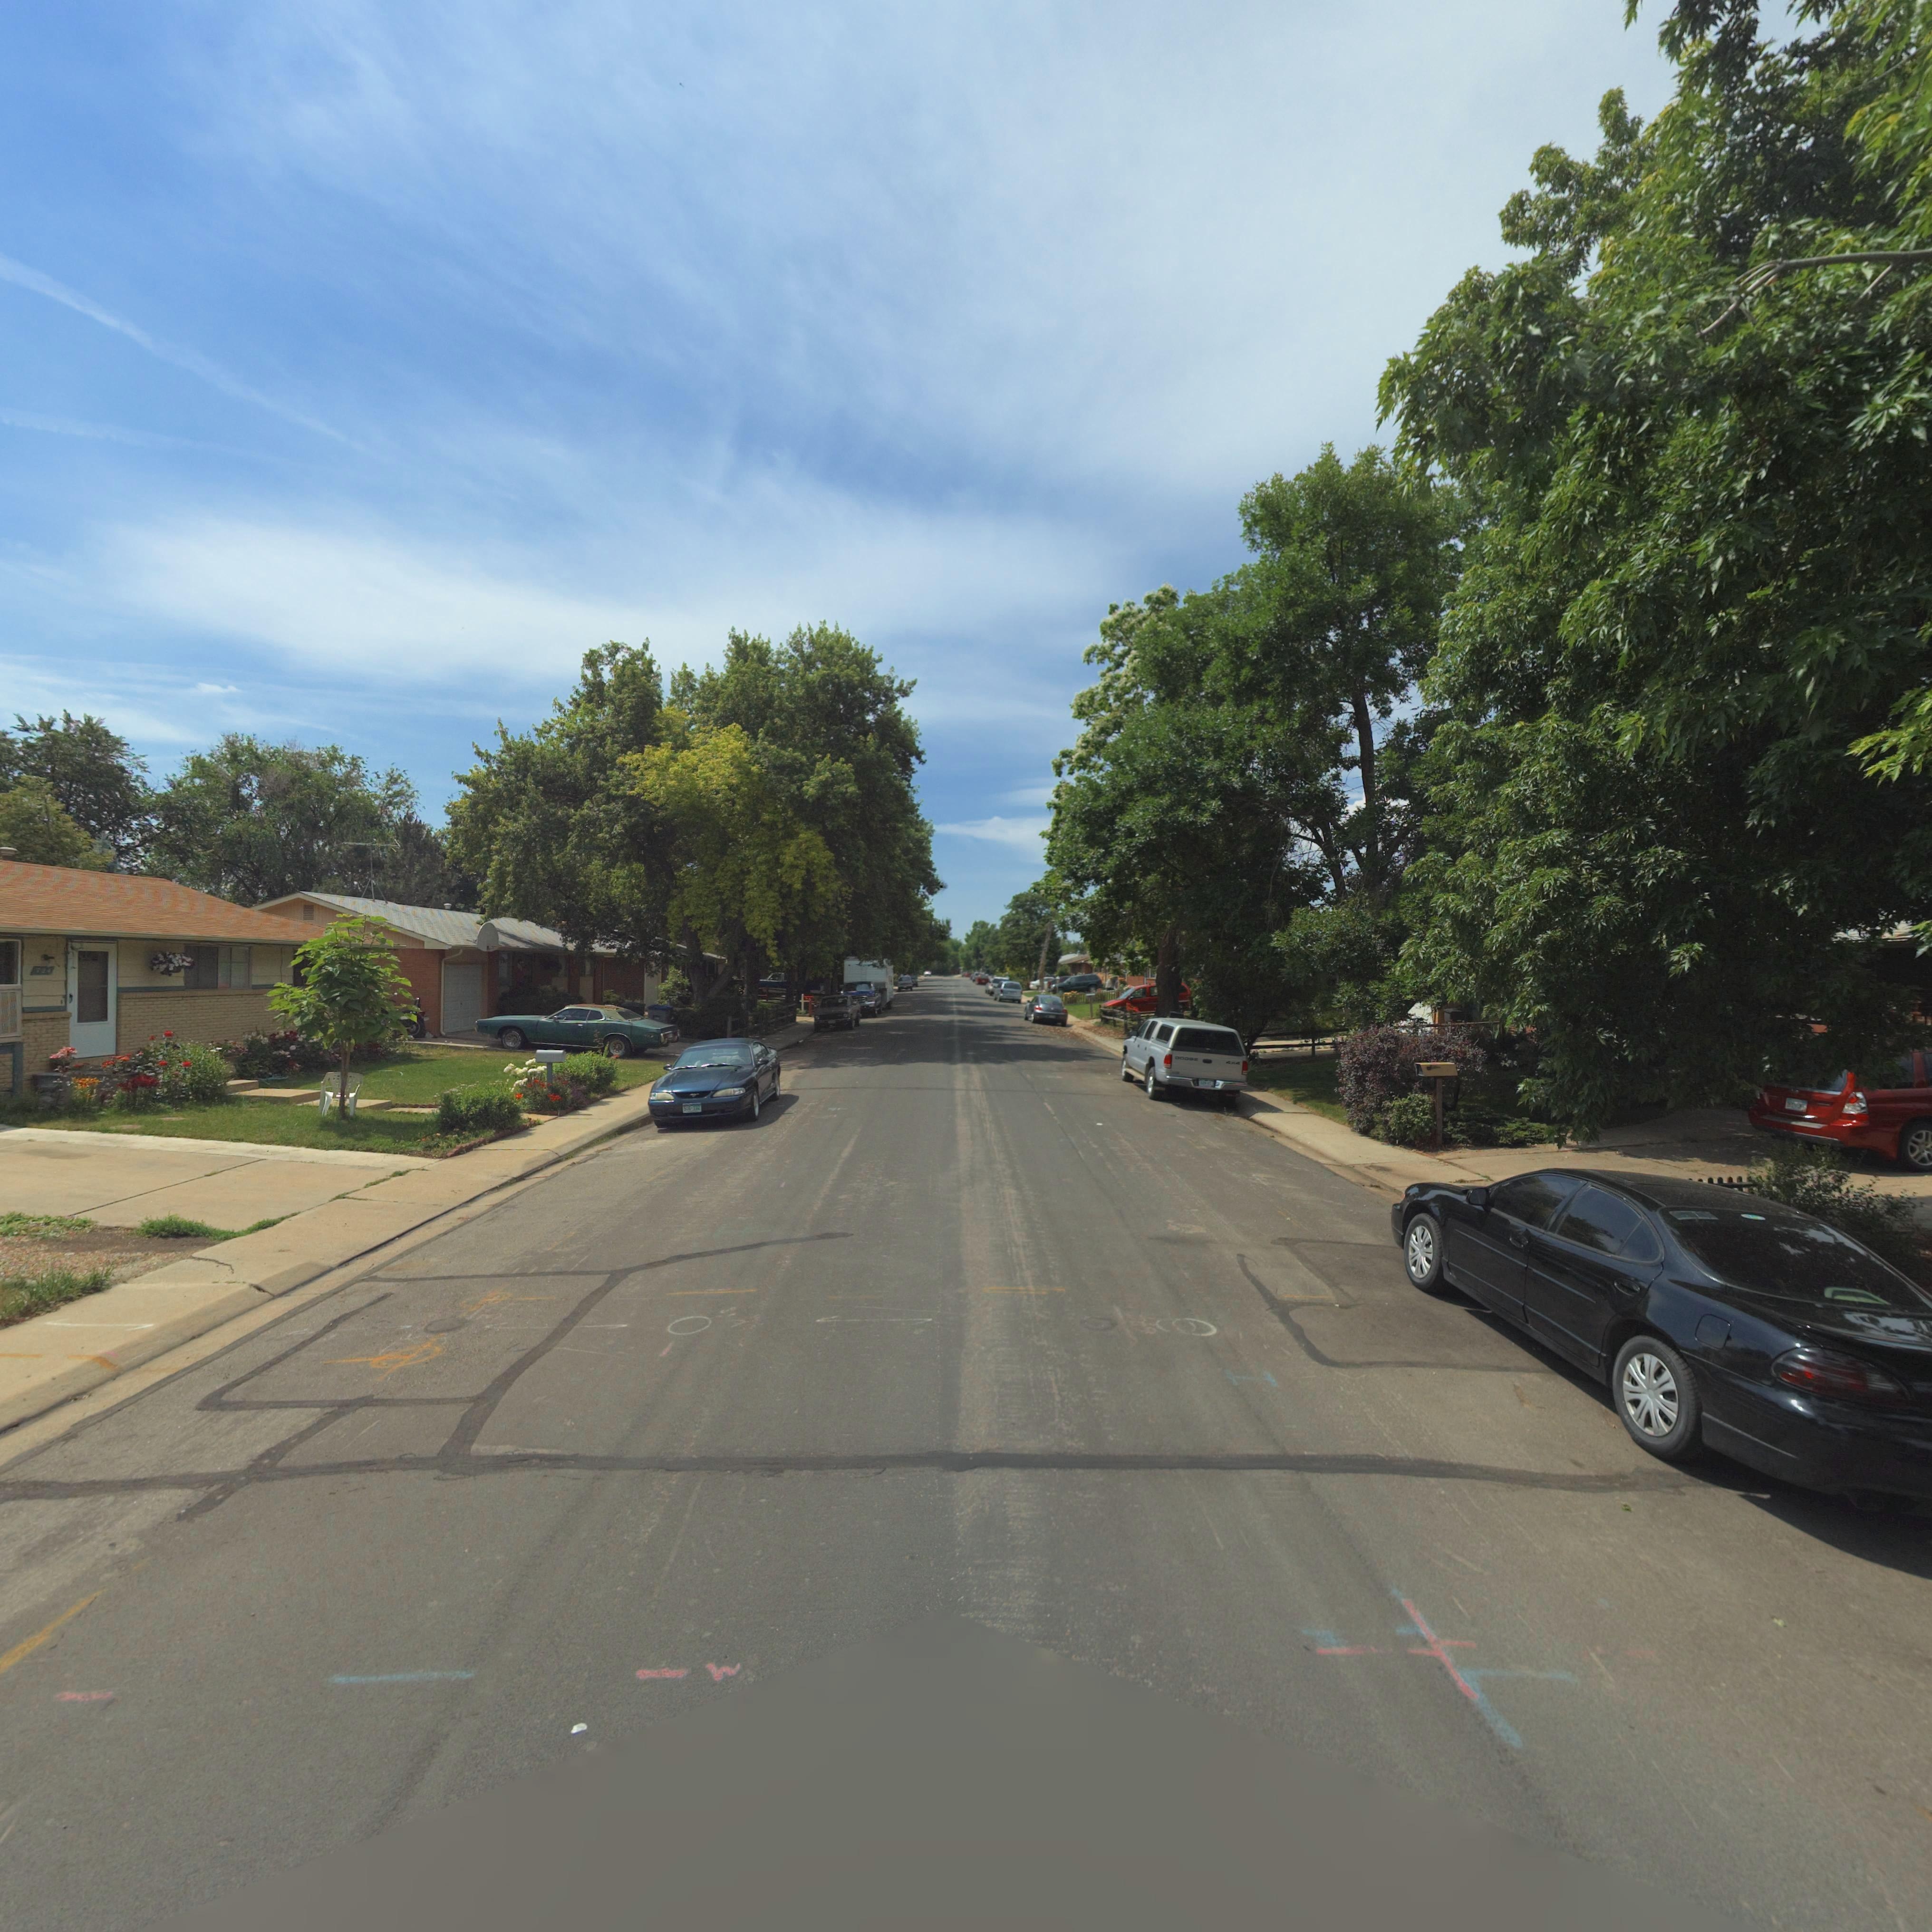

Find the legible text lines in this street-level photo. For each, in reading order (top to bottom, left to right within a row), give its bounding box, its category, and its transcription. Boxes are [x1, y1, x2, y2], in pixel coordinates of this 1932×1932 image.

[34, 967, 52, 974] StreetNumber: 7*4